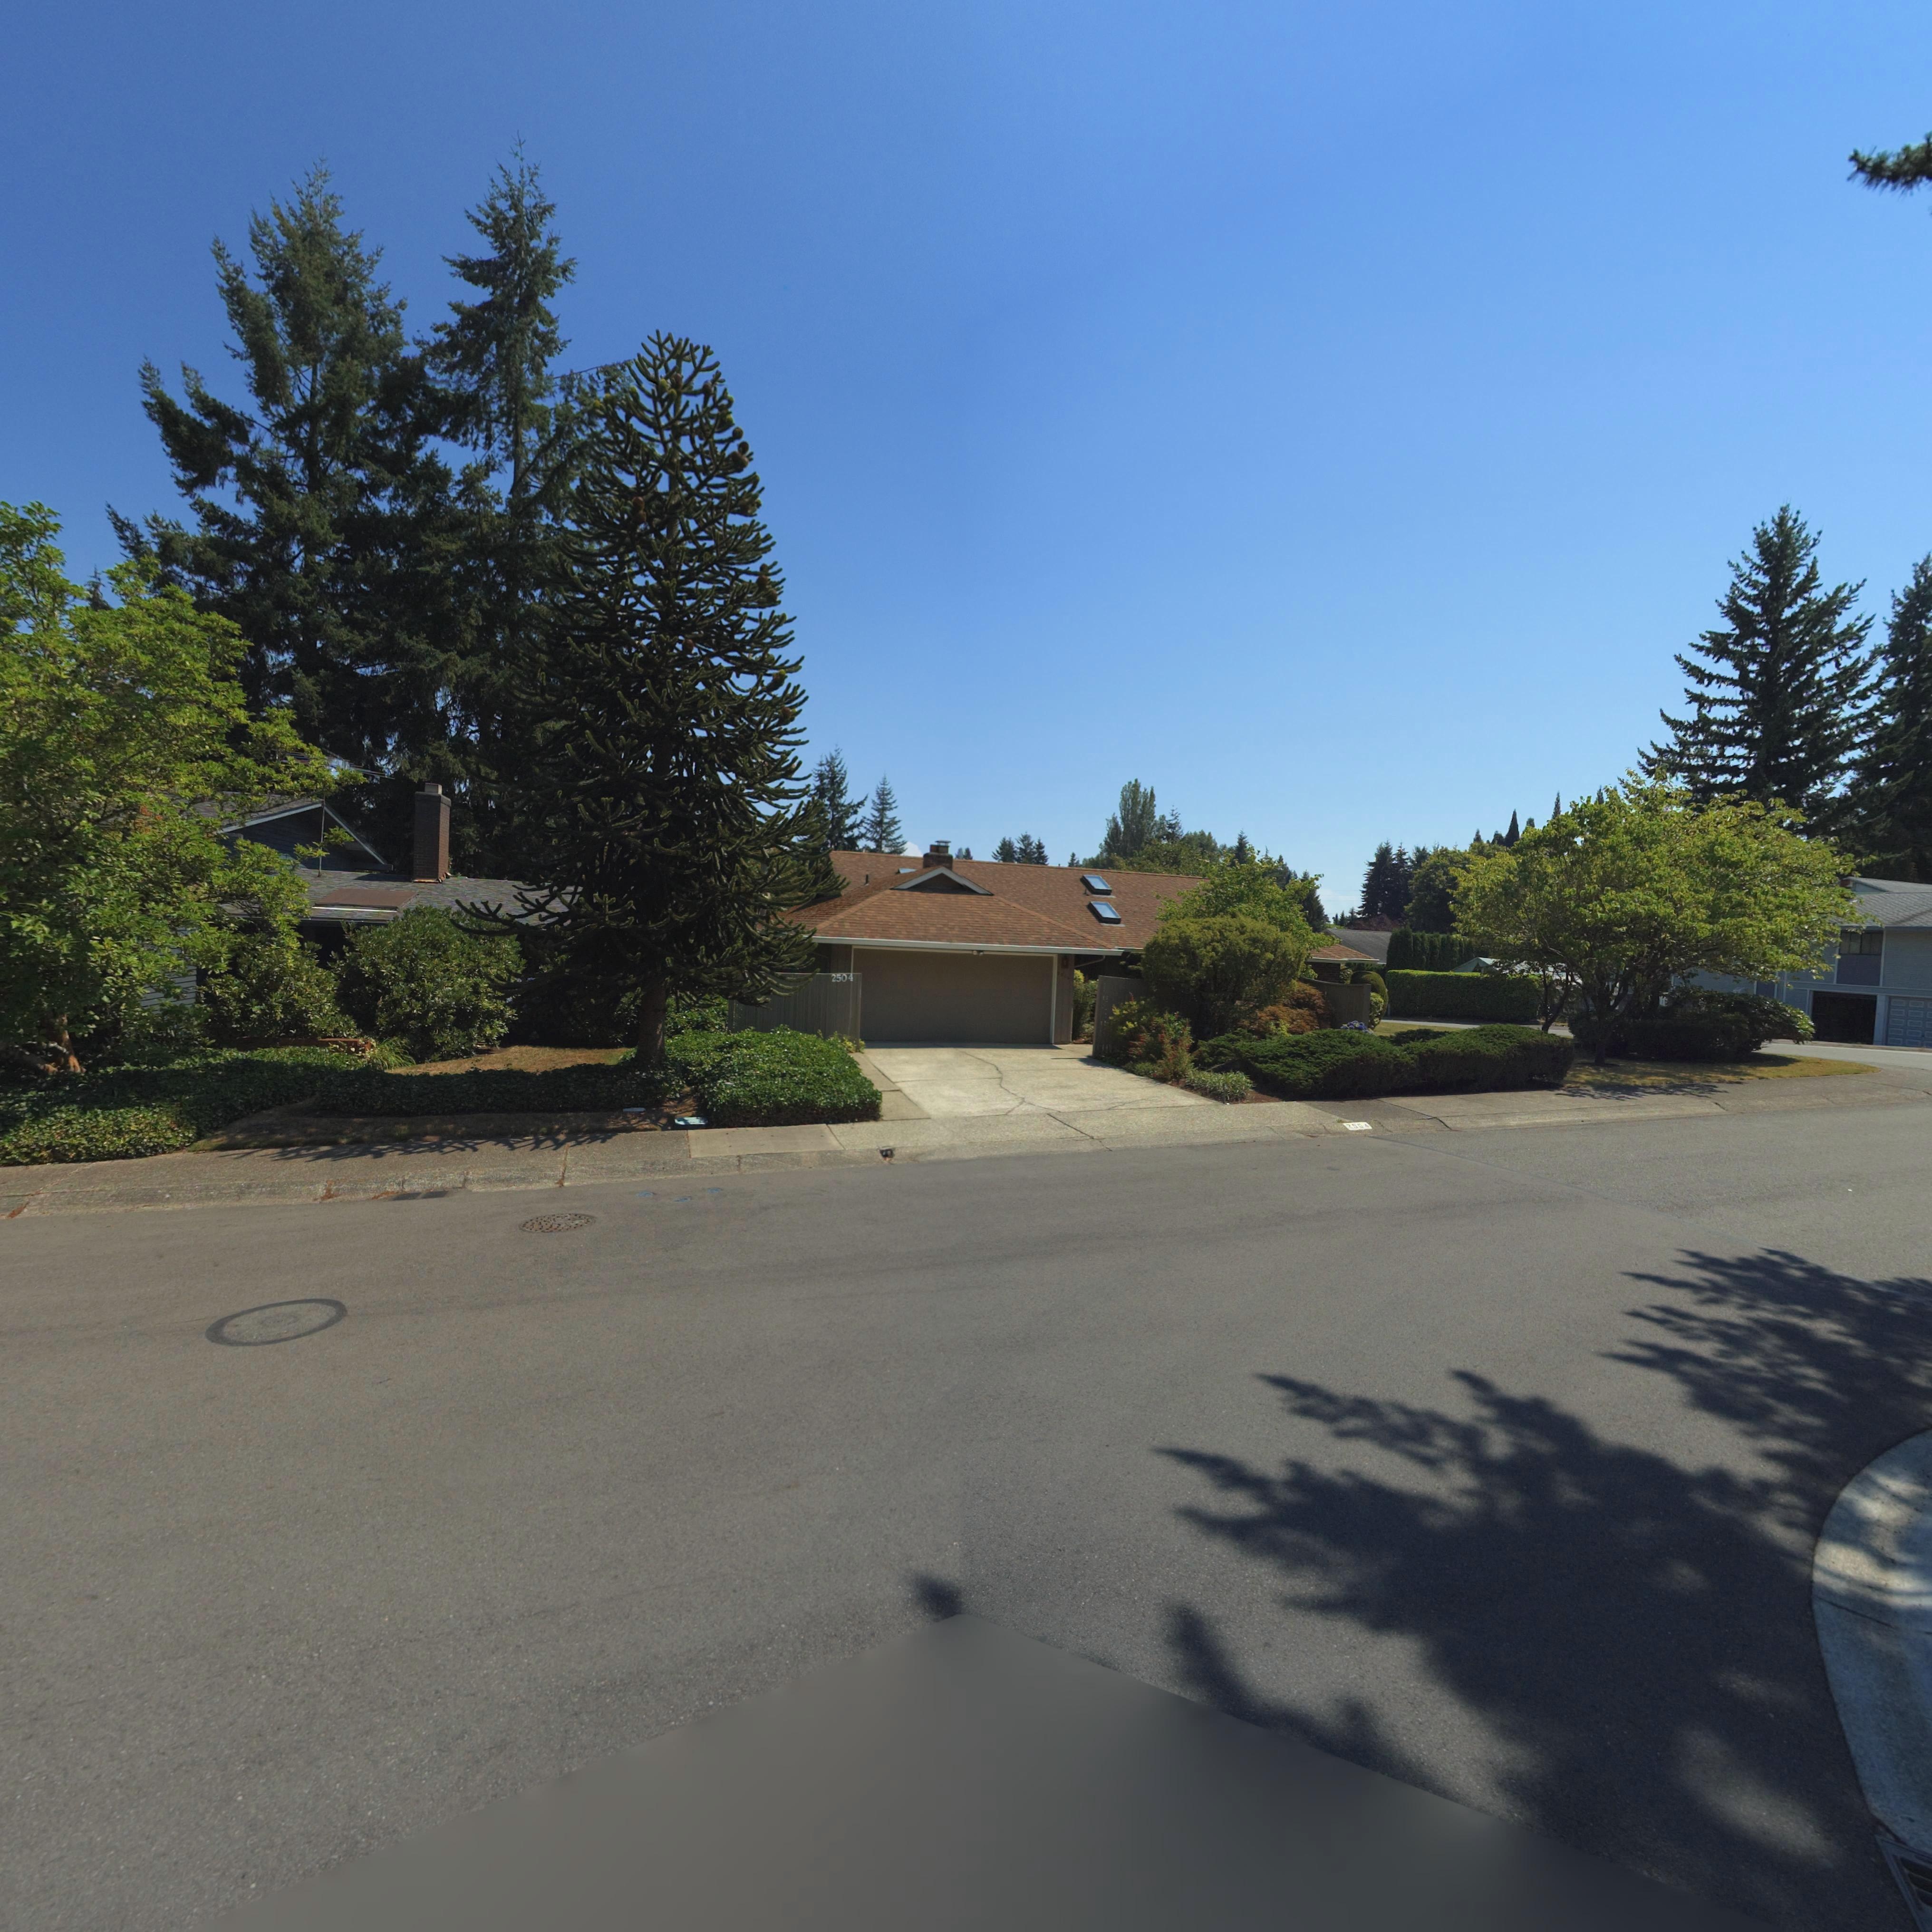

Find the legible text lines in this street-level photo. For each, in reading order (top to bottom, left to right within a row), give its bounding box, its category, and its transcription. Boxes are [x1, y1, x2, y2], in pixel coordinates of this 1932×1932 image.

[829, 973, 858, 982] StreetNumber: 2504
[1343, 1121, 1372, 1130] StreetNumber: 2504